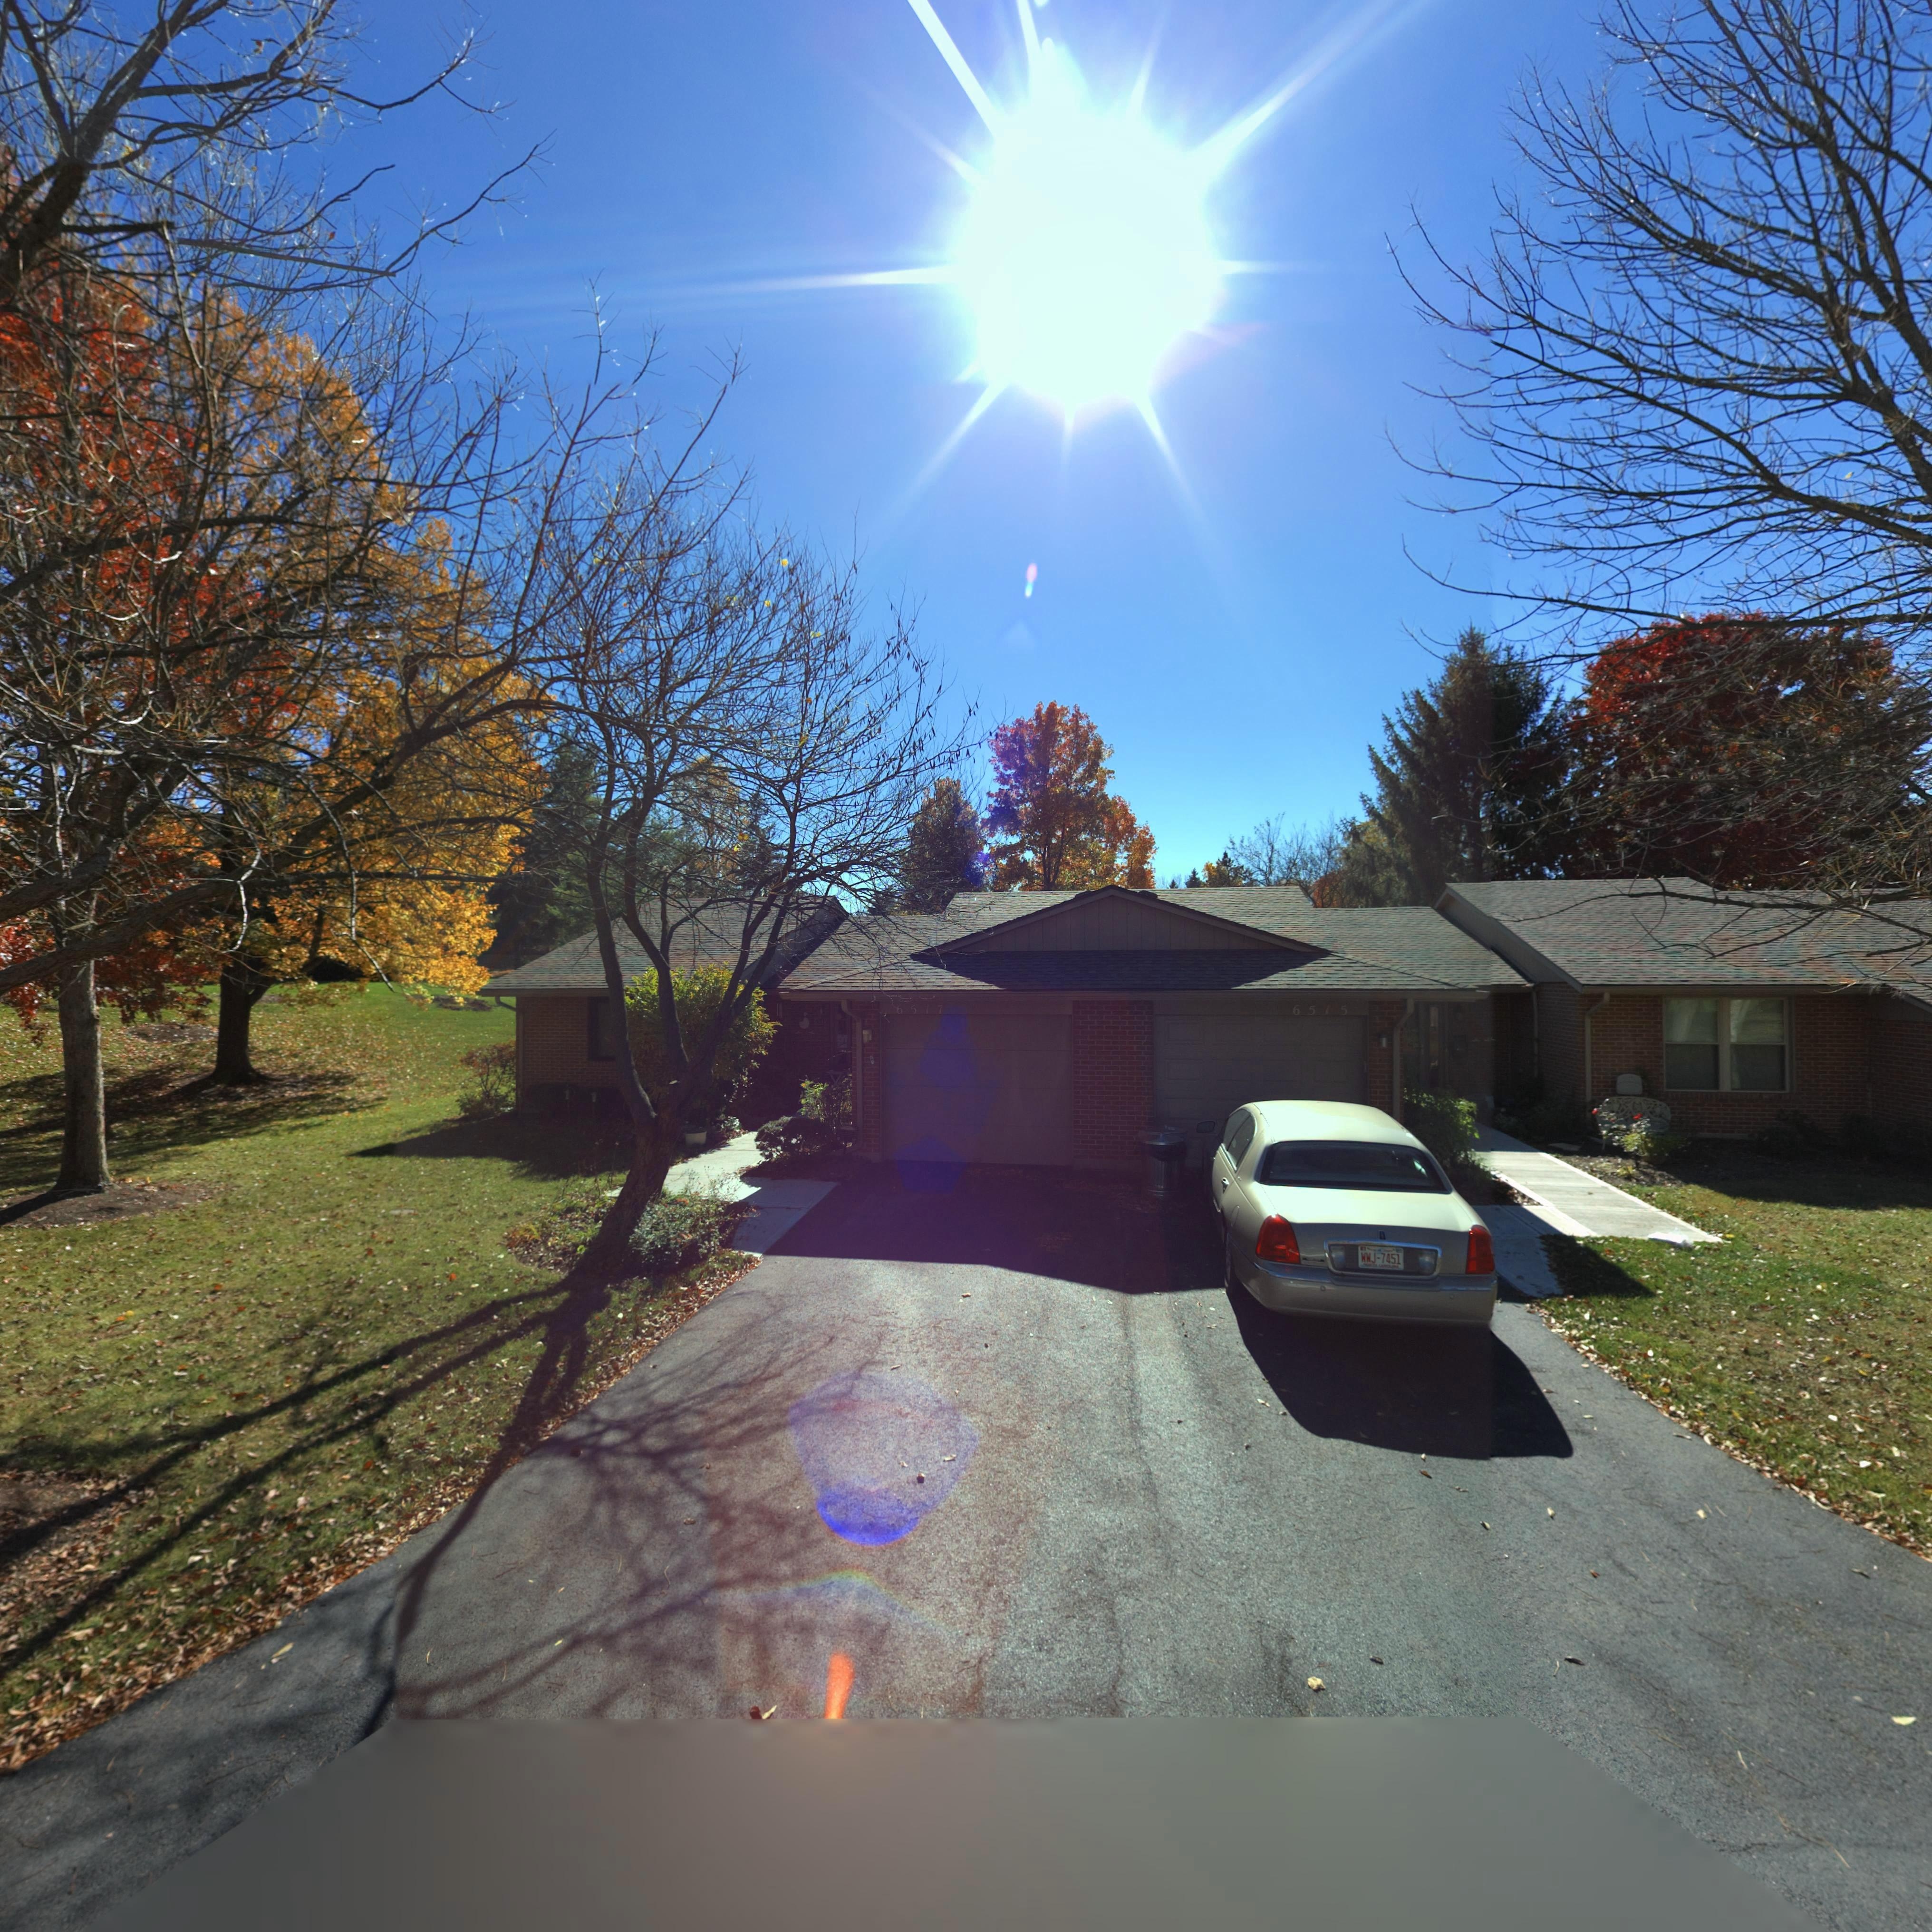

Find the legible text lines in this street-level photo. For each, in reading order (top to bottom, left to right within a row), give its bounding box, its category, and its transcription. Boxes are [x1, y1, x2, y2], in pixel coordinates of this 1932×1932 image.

[896, 1003, 944, 1015] StreetNumber: 6517
[1291, 1004, 1350, 1016] StreetNumber: 6515